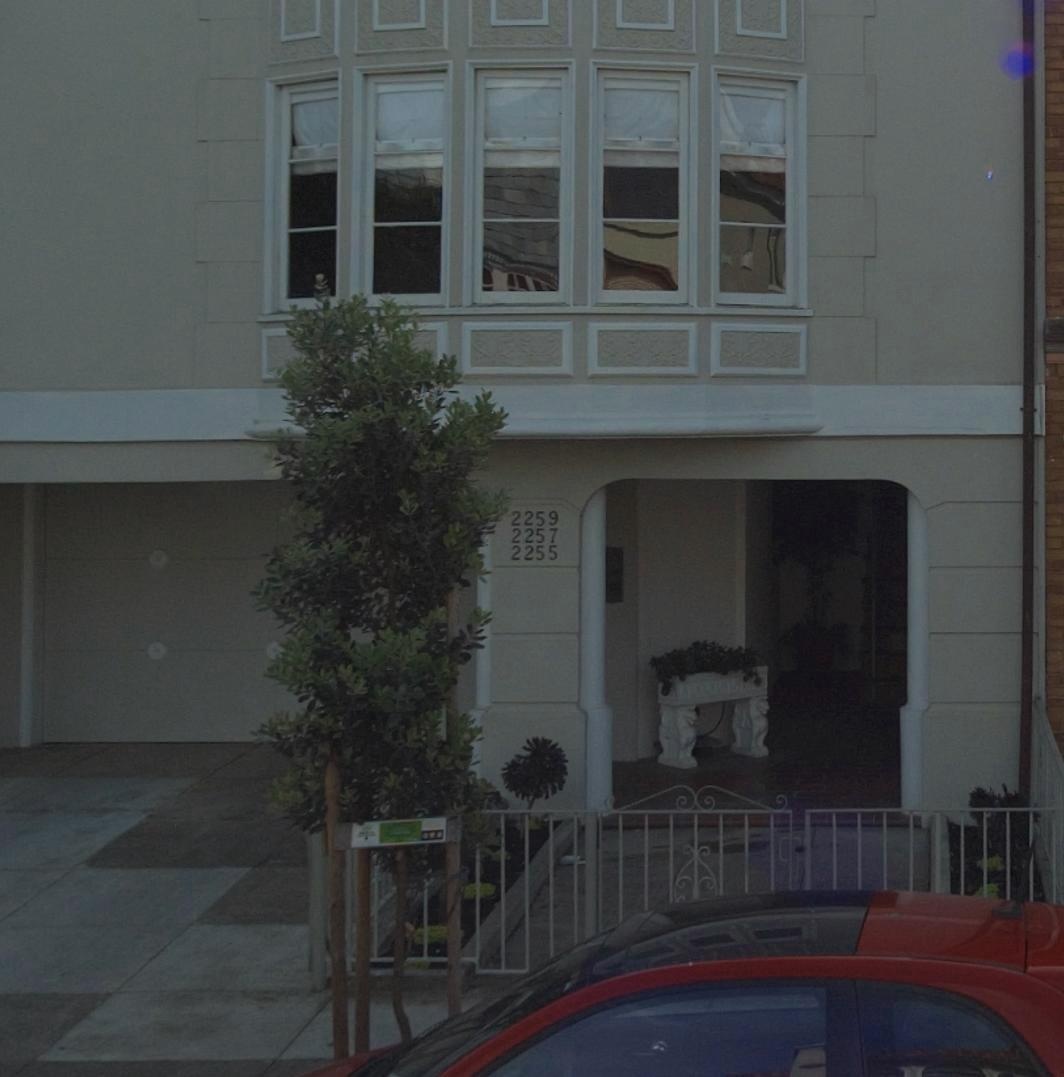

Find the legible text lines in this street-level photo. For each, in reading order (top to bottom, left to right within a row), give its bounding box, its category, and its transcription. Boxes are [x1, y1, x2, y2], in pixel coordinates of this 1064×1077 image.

[509, 508, 560, 528] StreetNumber: 2259
[509, 527, 560, 545] StreetNumber: 2257
[508, 543, 560, 562] StreetNumber: 2255